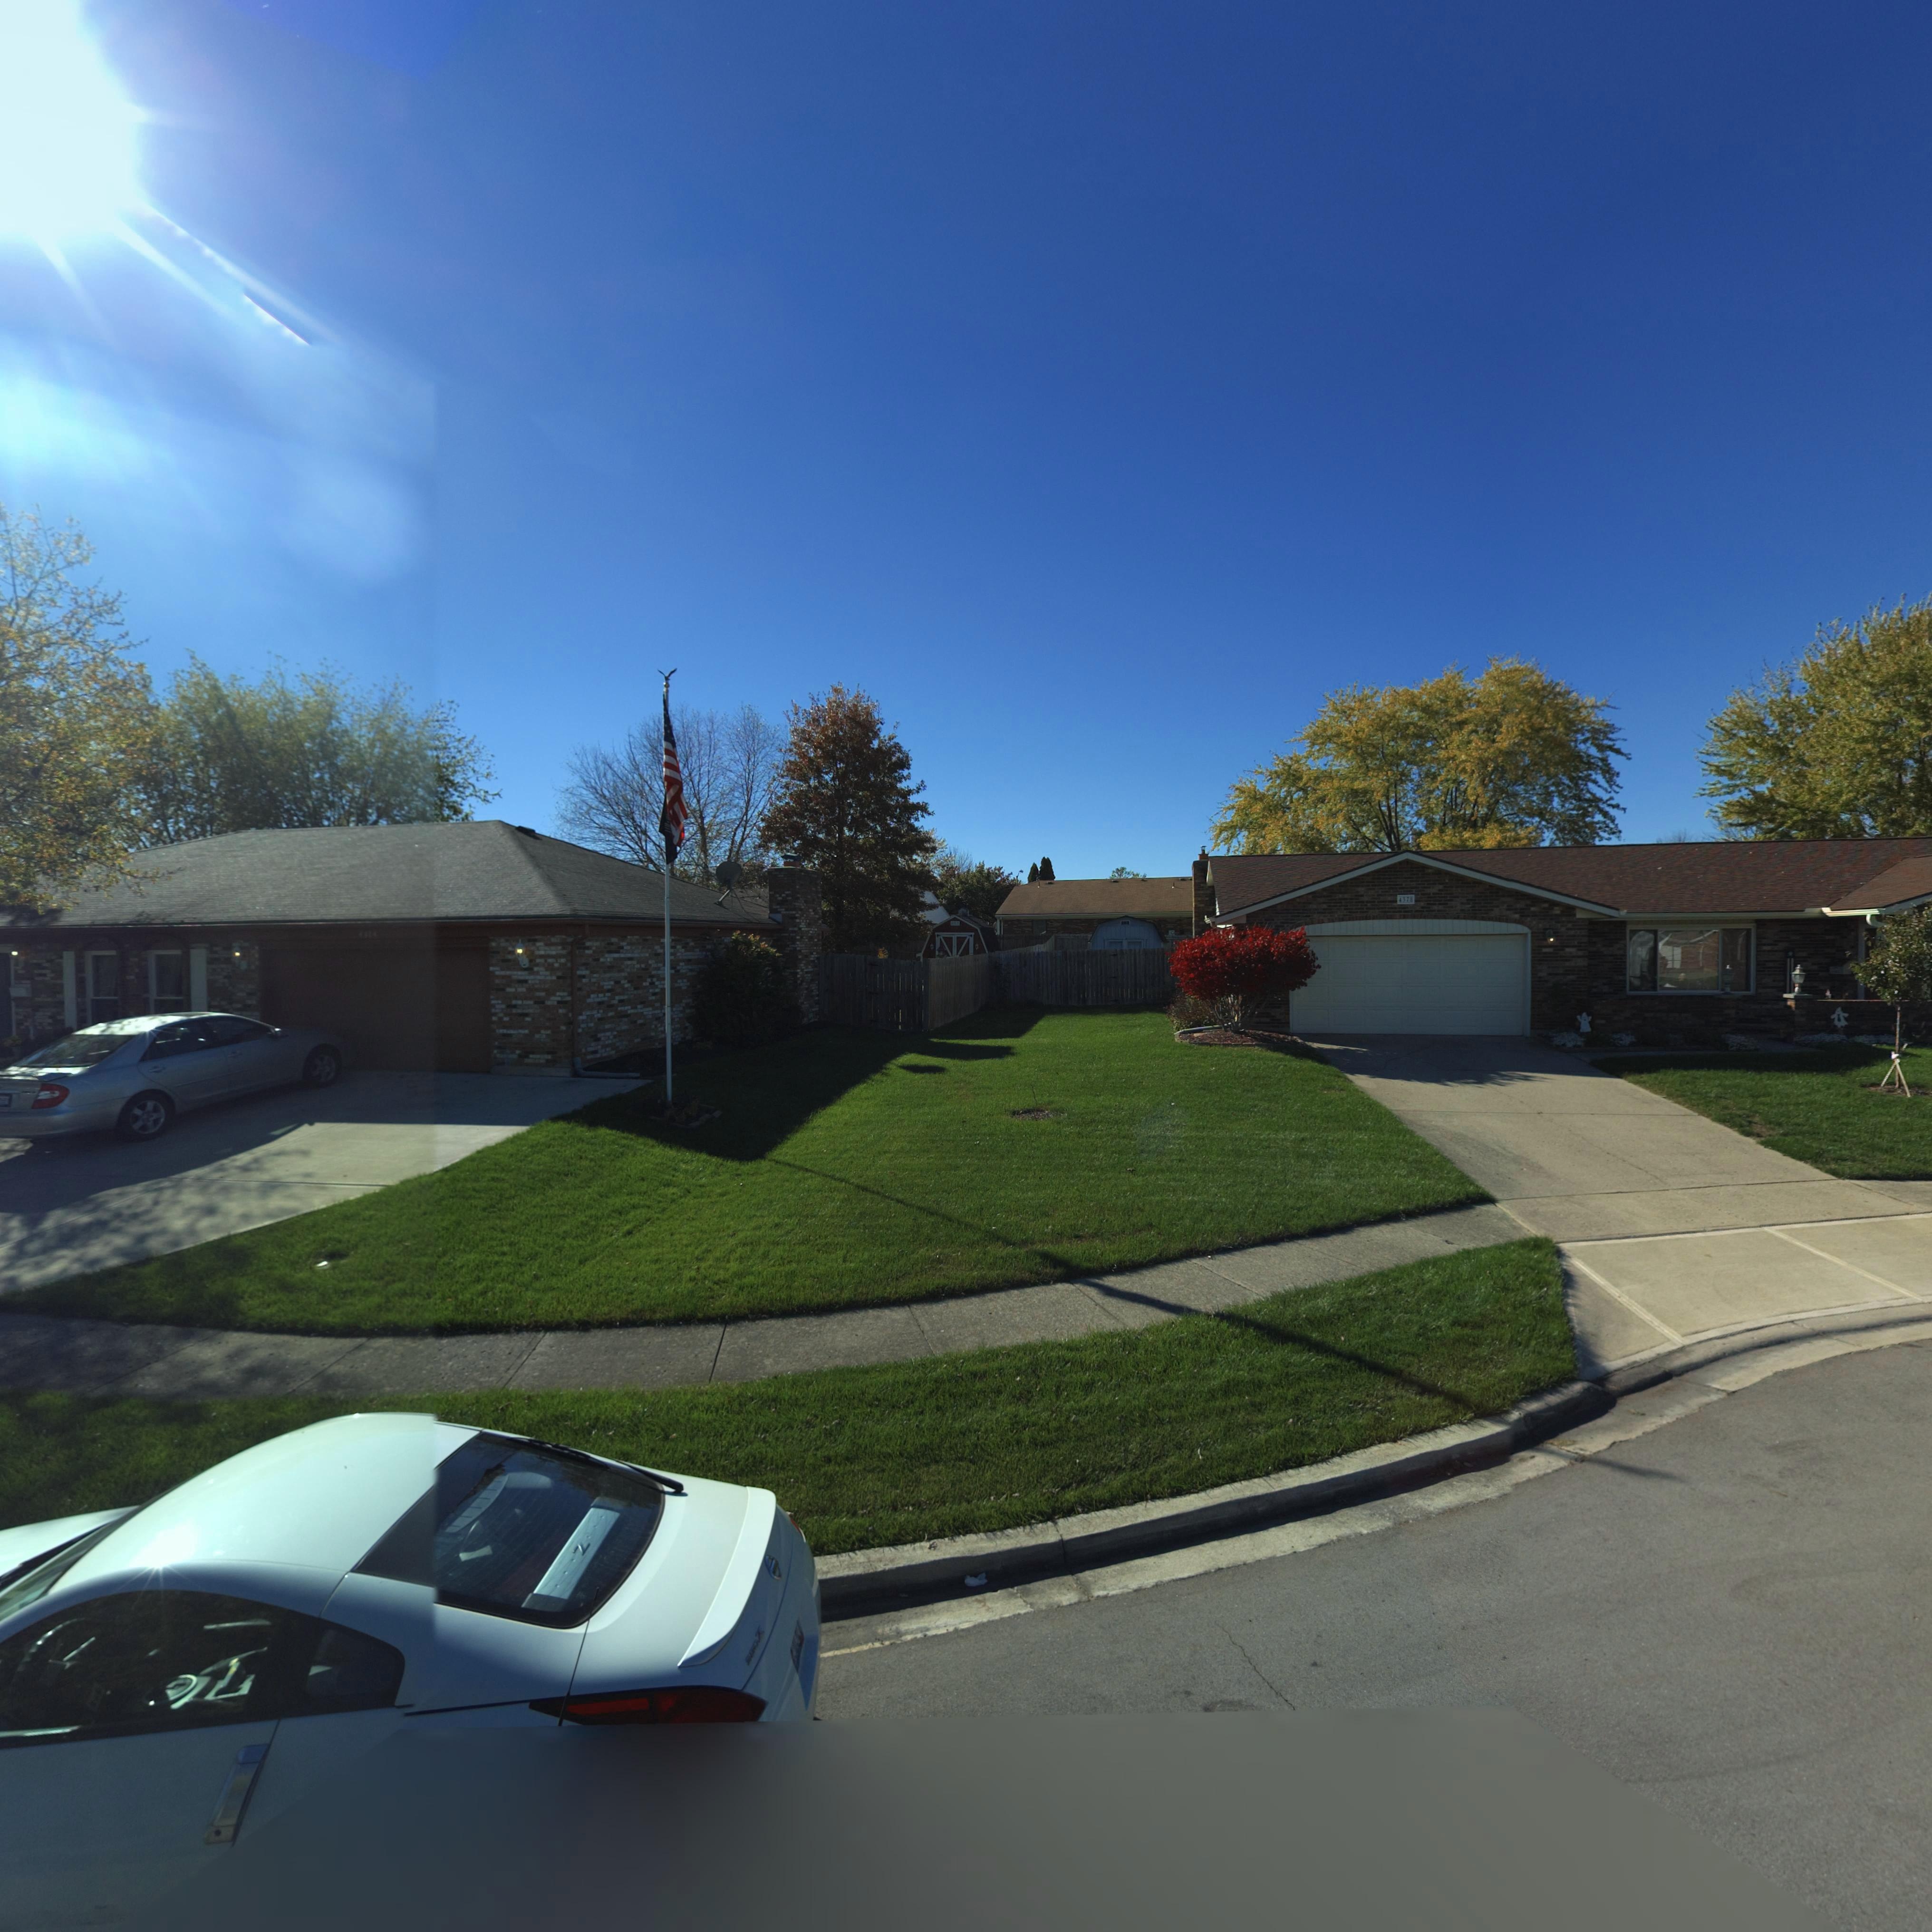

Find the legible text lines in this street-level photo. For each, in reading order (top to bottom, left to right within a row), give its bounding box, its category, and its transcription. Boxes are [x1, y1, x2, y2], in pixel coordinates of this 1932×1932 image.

[1398, 896, 1413, 903] StreetNumber: 4378
[357, 930, 377, 938] StreetNumber: 4374